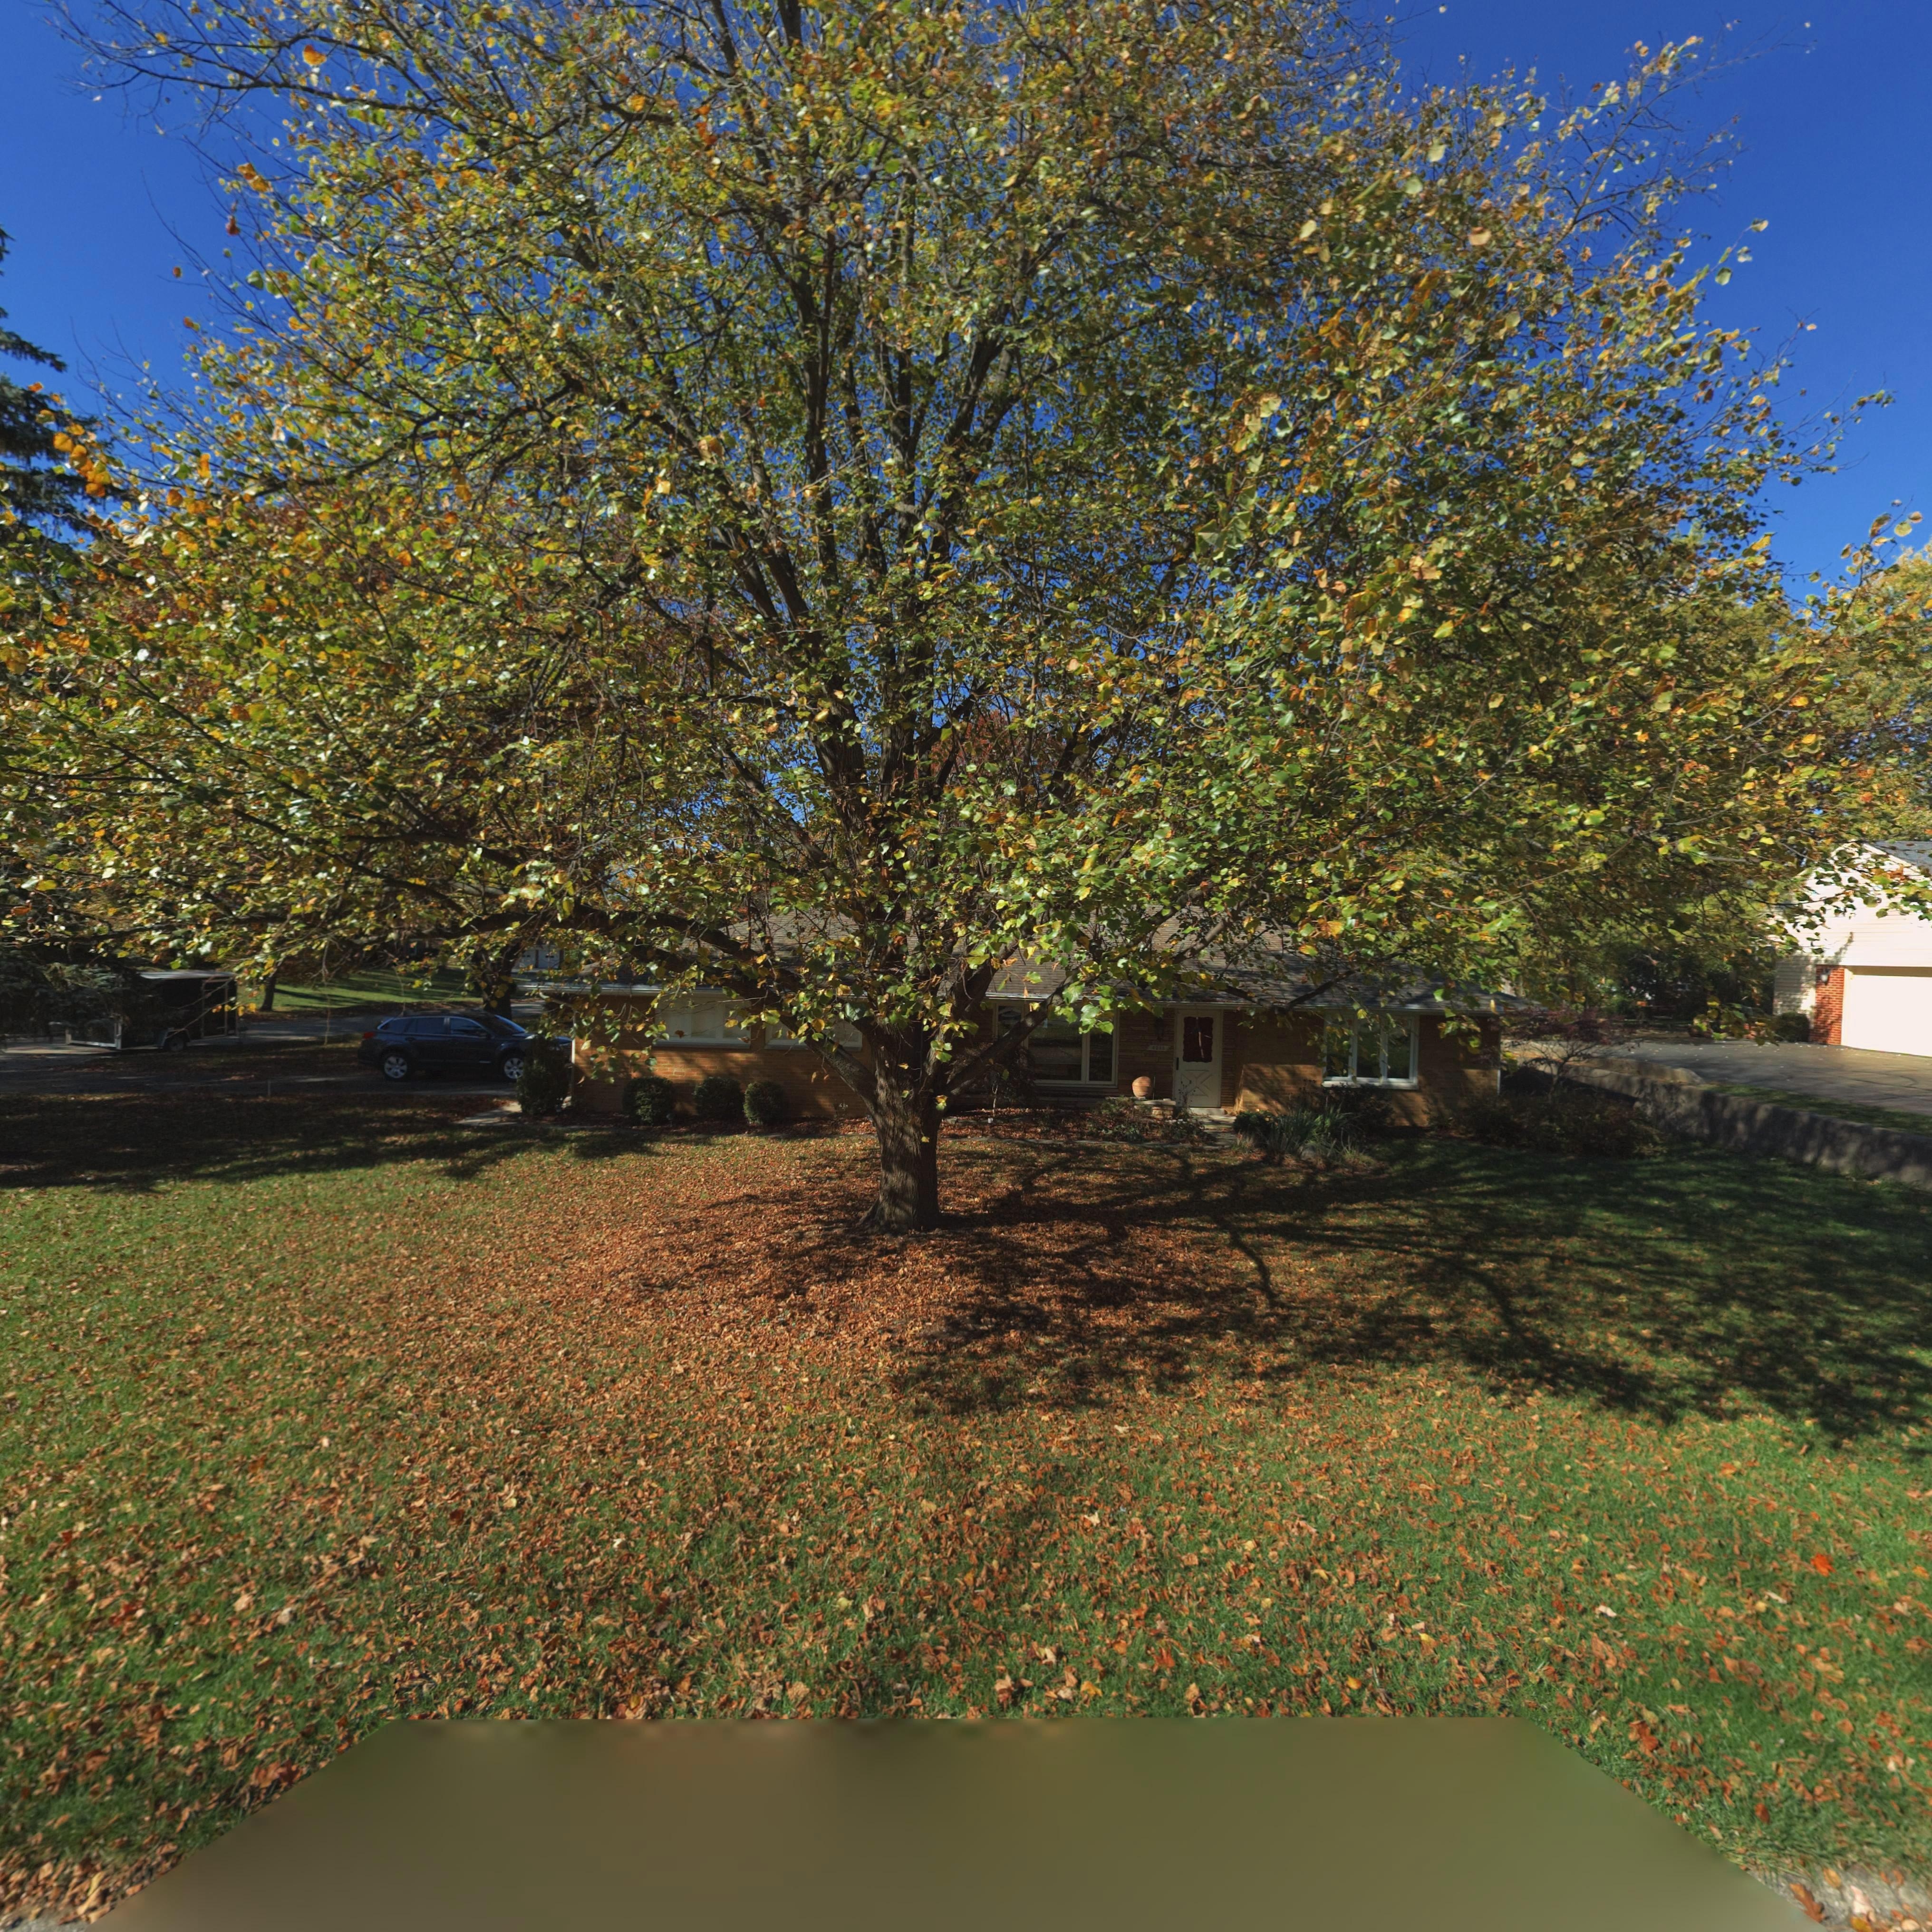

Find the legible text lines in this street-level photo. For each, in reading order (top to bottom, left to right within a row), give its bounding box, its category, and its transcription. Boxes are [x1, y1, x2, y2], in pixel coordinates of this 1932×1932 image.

[1151, 1045, 1166, 1051] StreetNumber: 42**